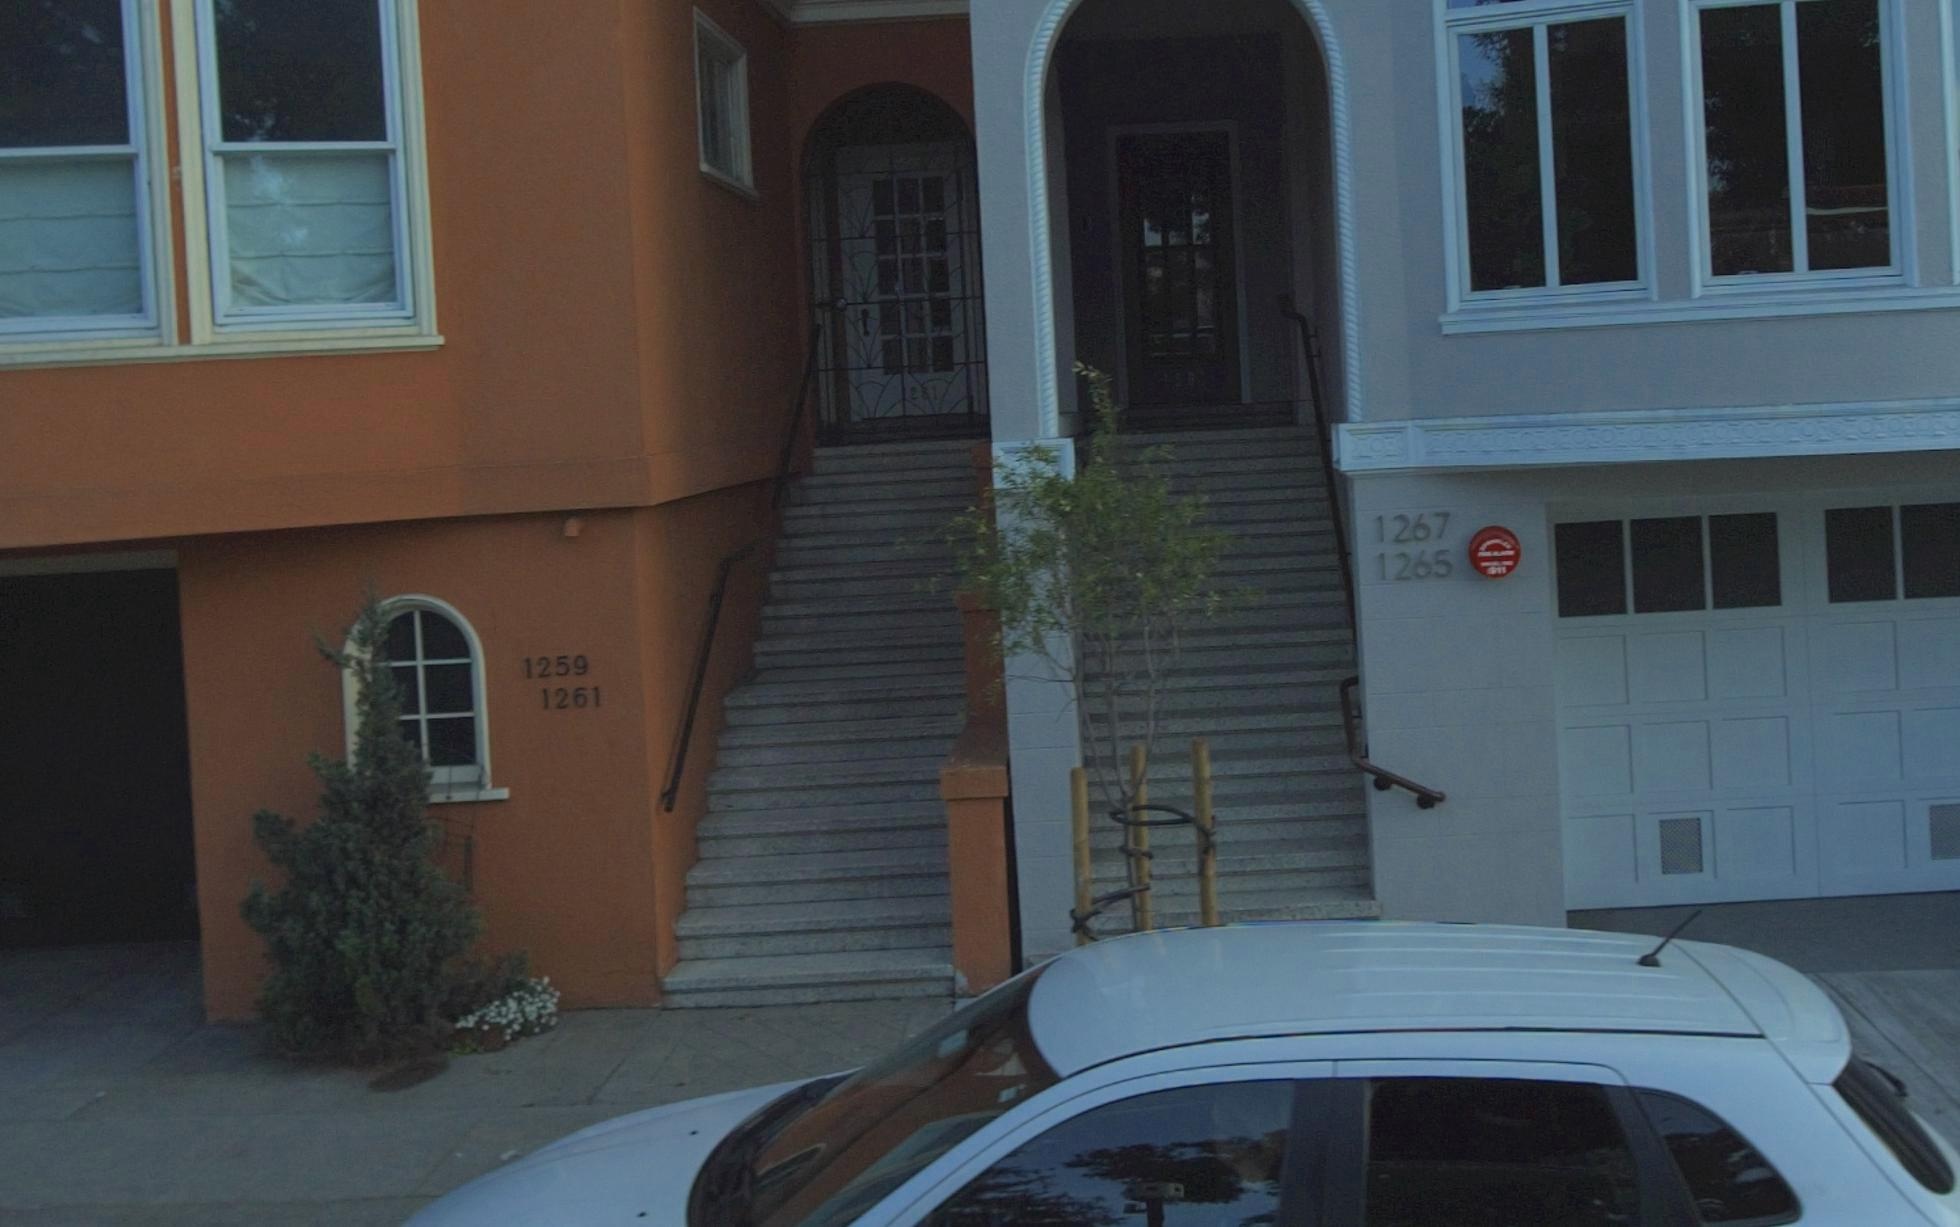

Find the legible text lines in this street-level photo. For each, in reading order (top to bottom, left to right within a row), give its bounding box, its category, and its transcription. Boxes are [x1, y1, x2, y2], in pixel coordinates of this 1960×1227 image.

[1372, 508, 1457, 547] StreetNumber: 1267
[1374, 546, 1457, 585] StreetNumber: 1265
[520, 650, 592, 684] StreetNumber: 1259
[538, 682, 605, 713] StreetNumber: 1261